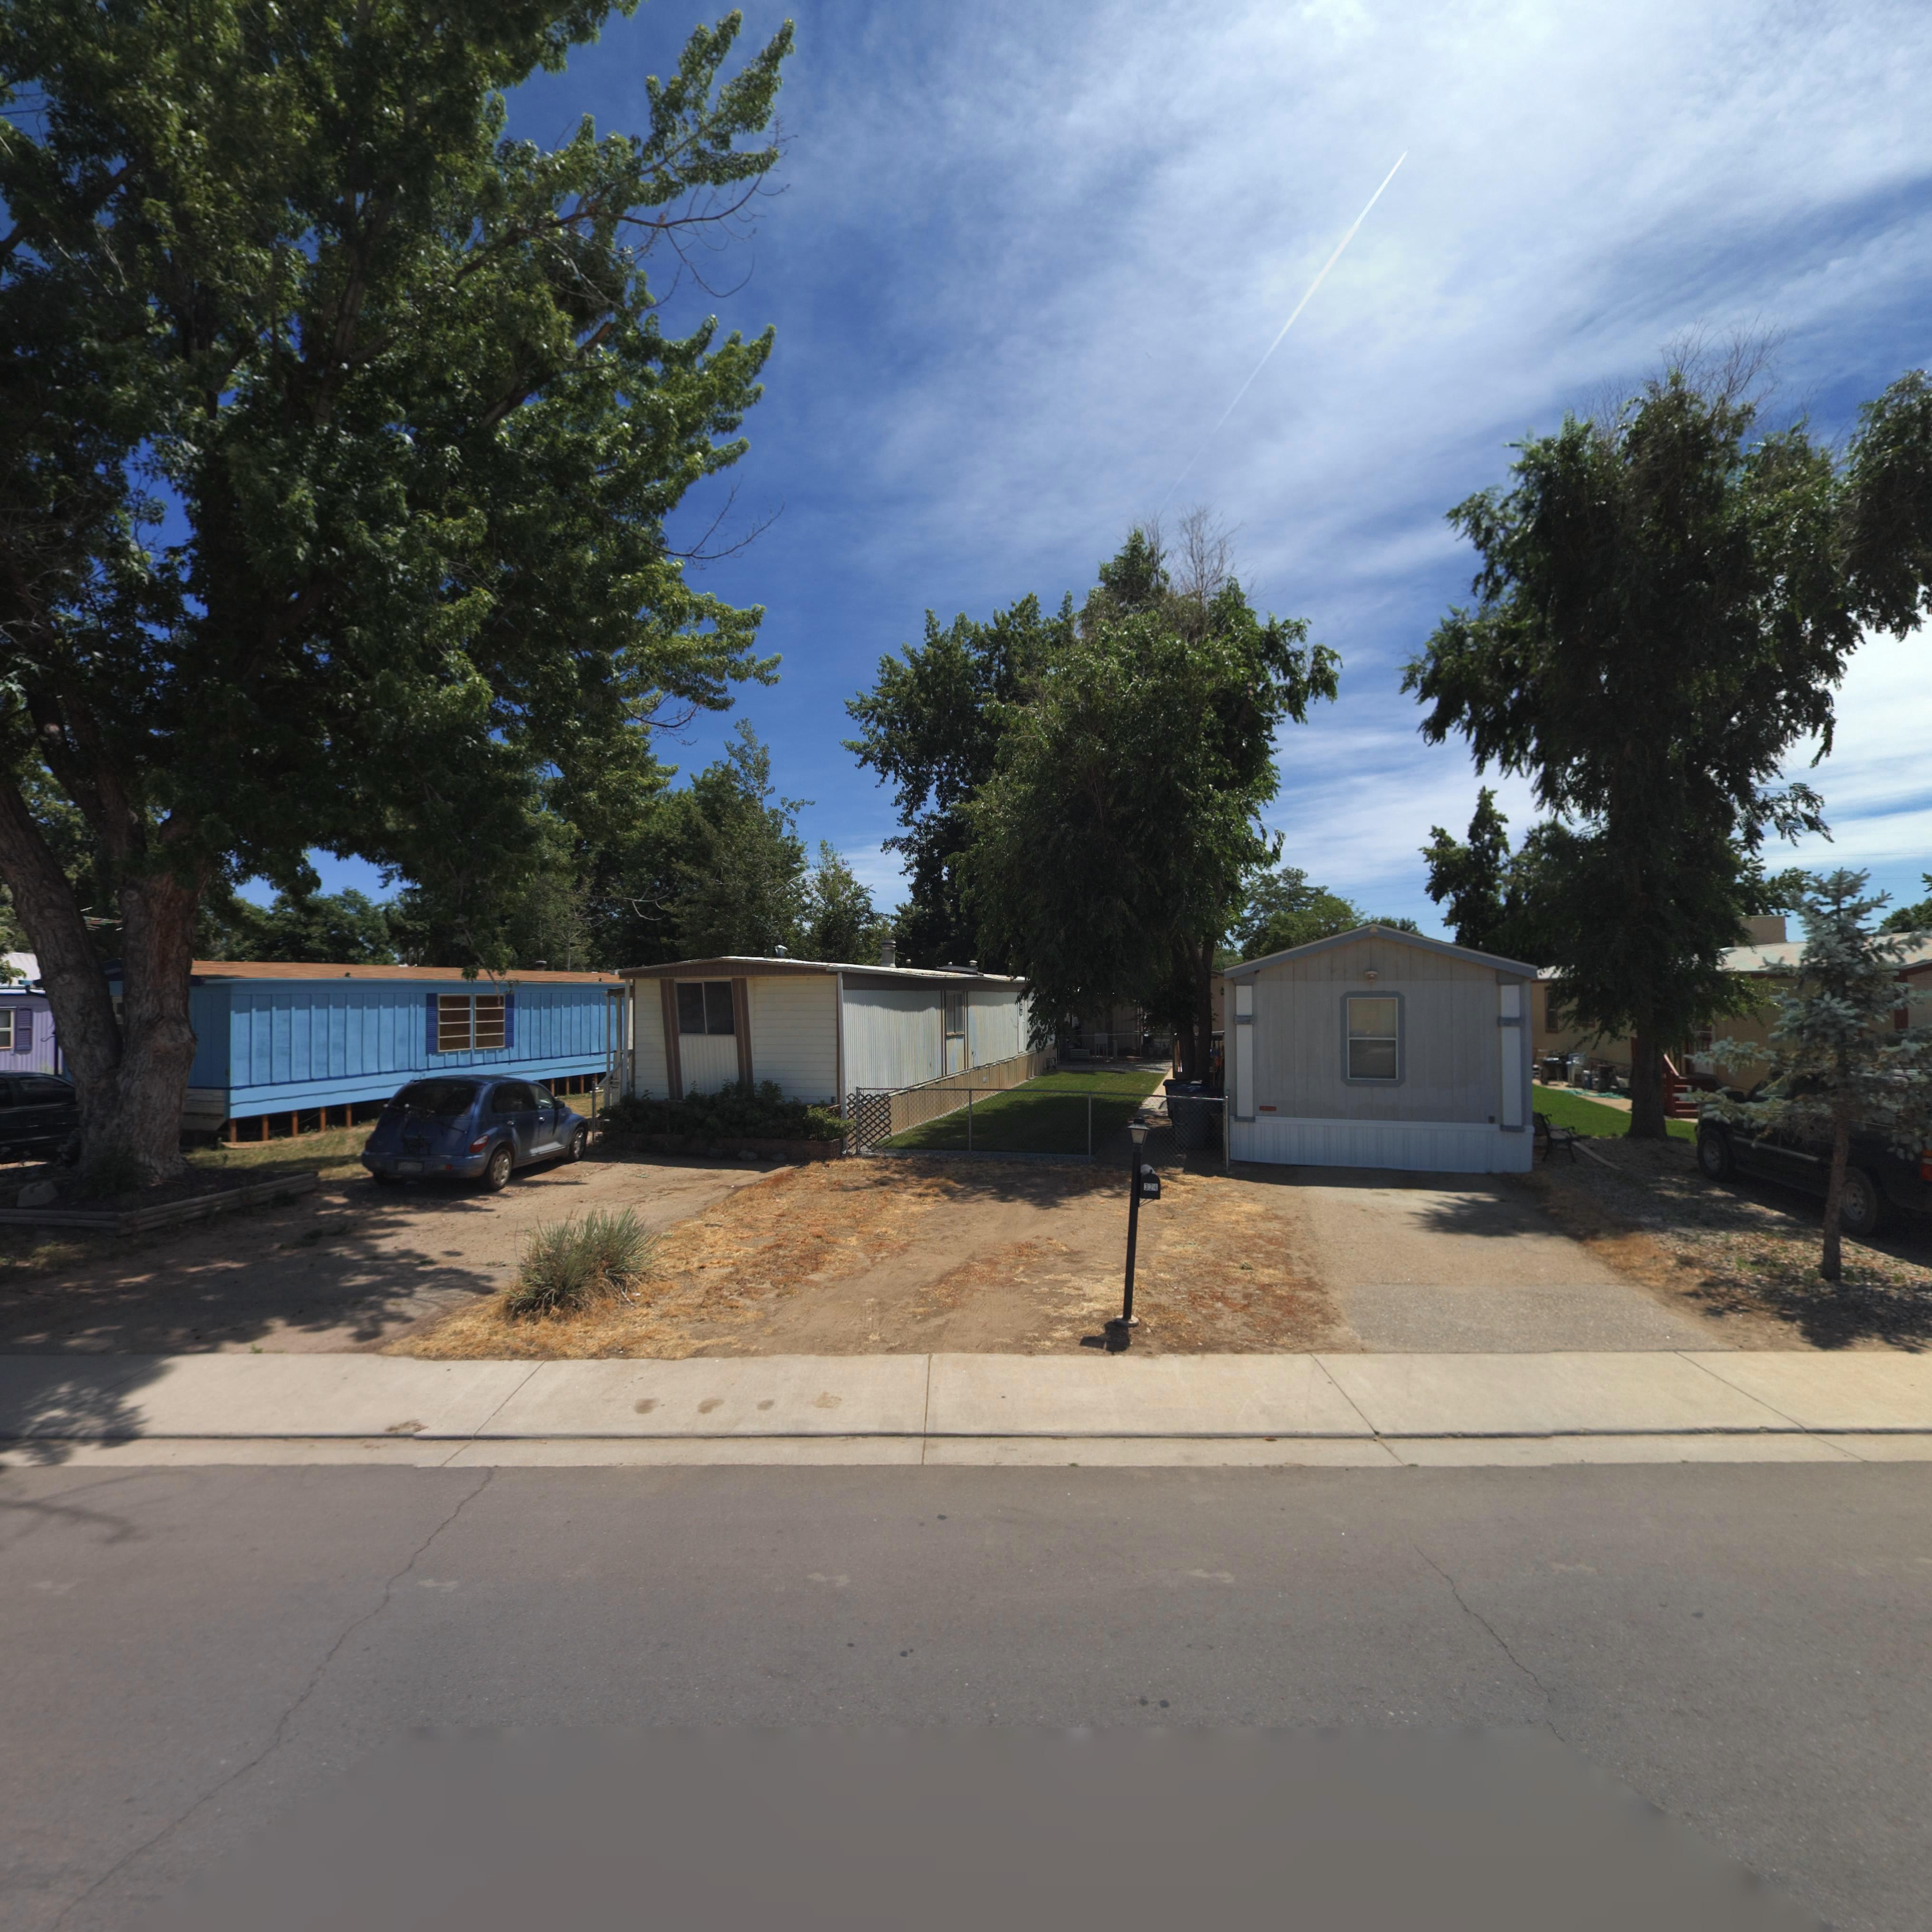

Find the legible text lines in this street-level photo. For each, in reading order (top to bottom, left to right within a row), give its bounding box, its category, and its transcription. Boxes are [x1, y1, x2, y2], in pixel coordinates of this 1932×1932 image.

[1144, 1183, 1158, 1190] StreetNumber: 324